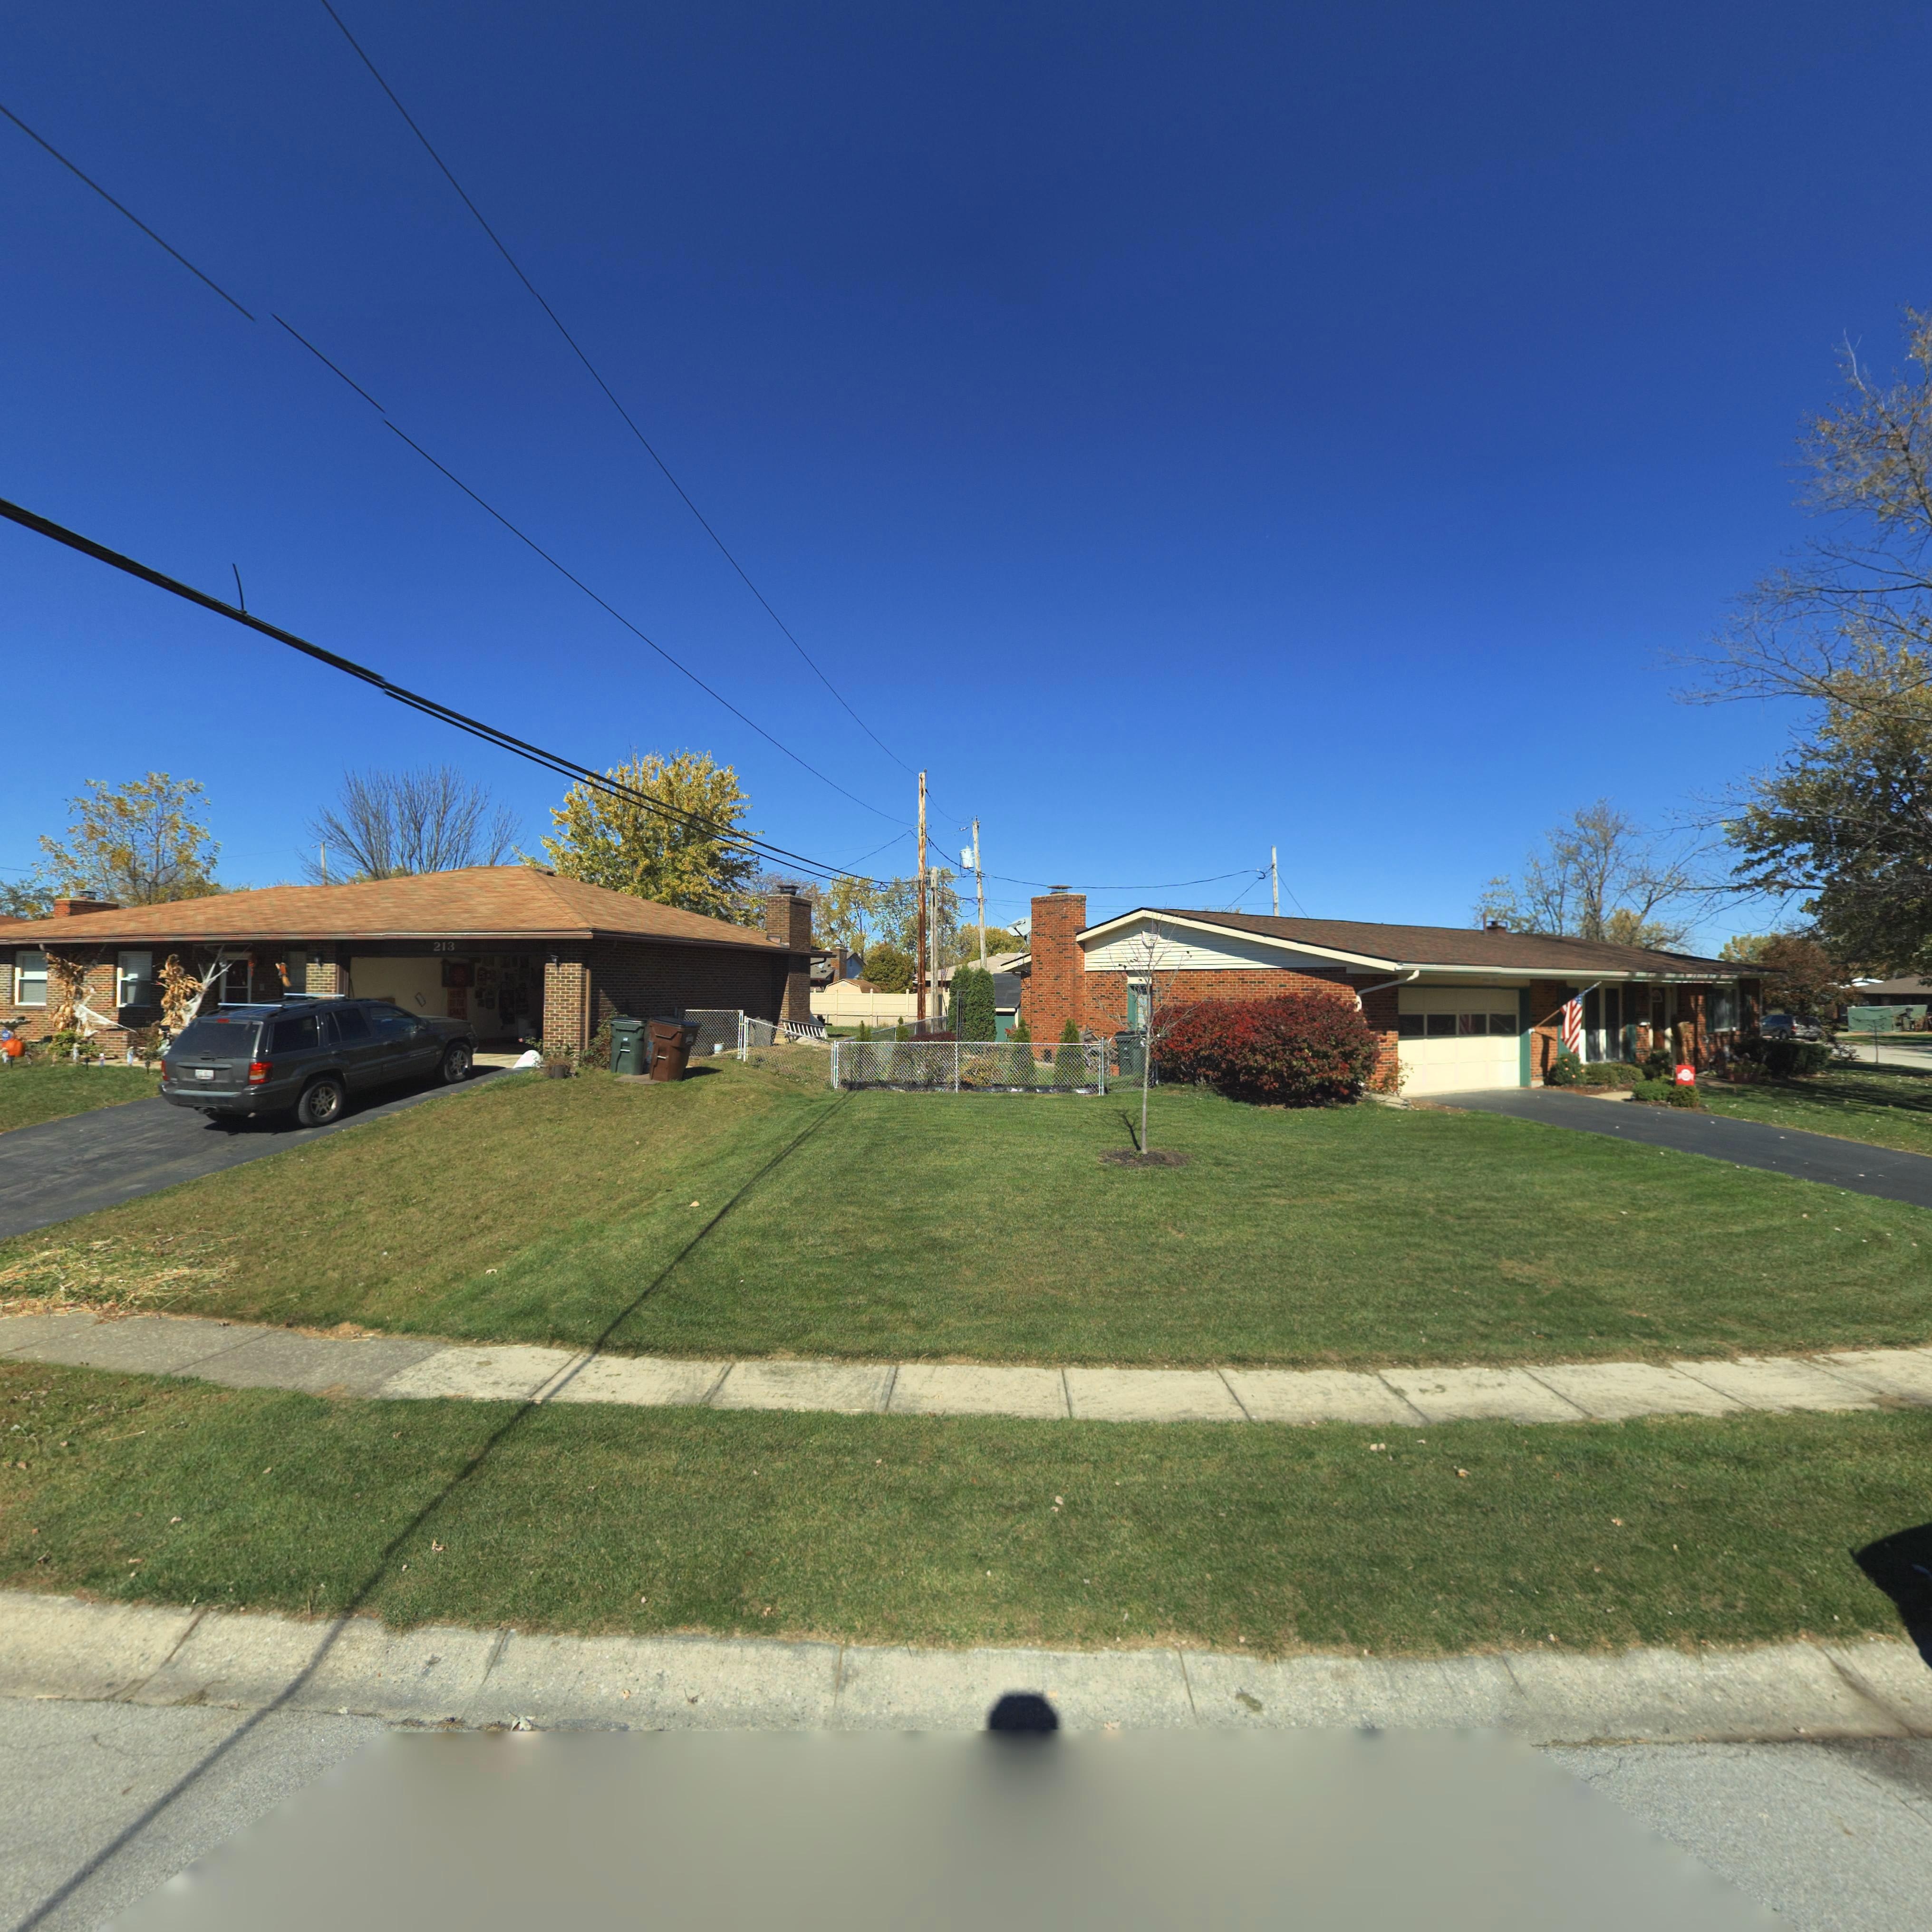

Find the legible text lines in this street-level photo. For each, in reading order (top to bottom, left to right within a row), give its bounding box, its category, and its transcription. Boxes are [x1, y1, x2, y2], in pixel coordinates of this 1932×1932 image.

[433, 941, 455, 952] StreetNumber: 213